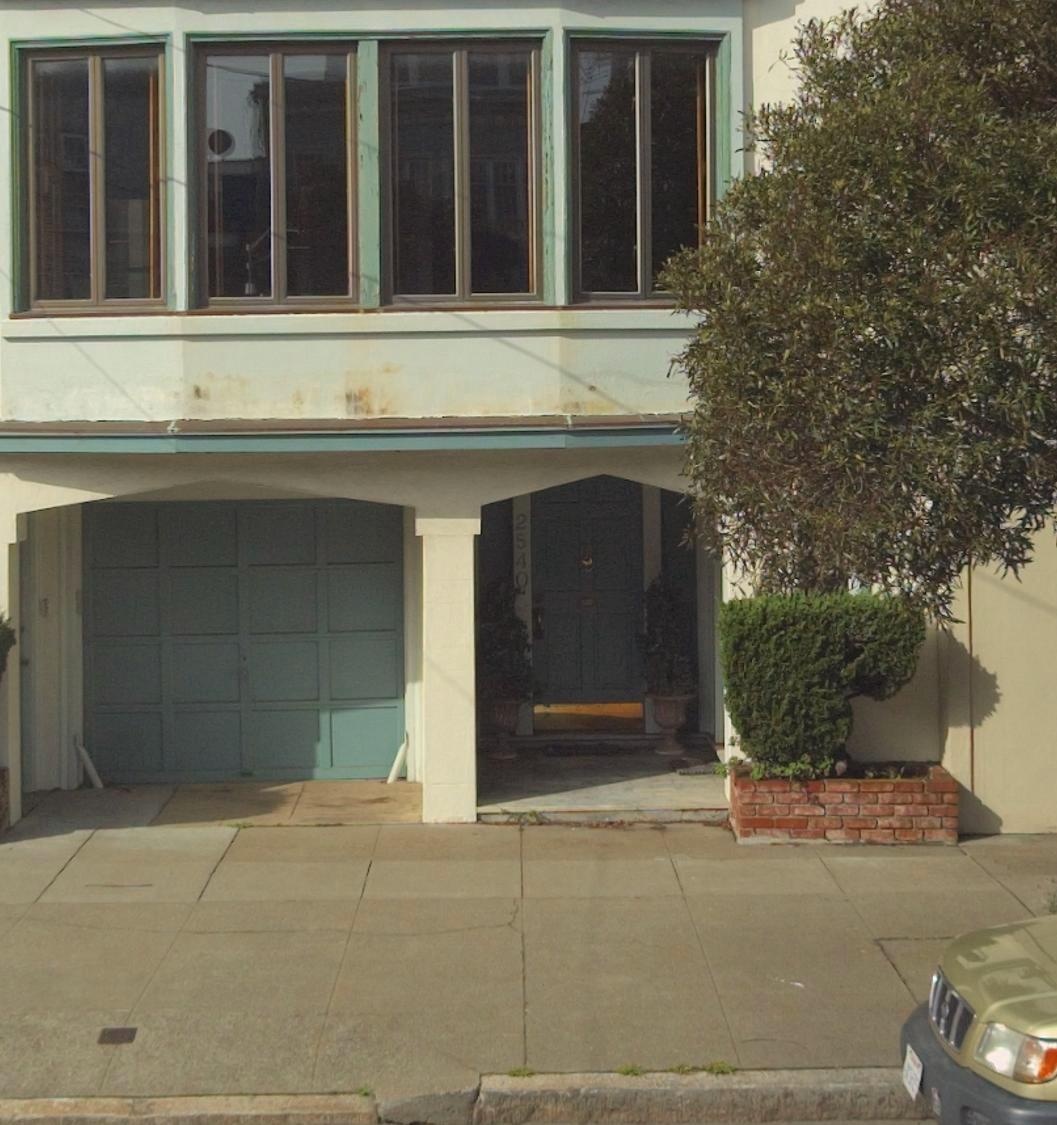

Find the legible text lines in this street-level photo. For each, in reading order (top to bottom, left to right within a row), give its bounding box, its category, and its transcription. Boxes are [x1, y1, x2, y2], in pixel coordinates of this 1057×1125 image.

[514, 511, 530, 589] StreetNumber: 2540